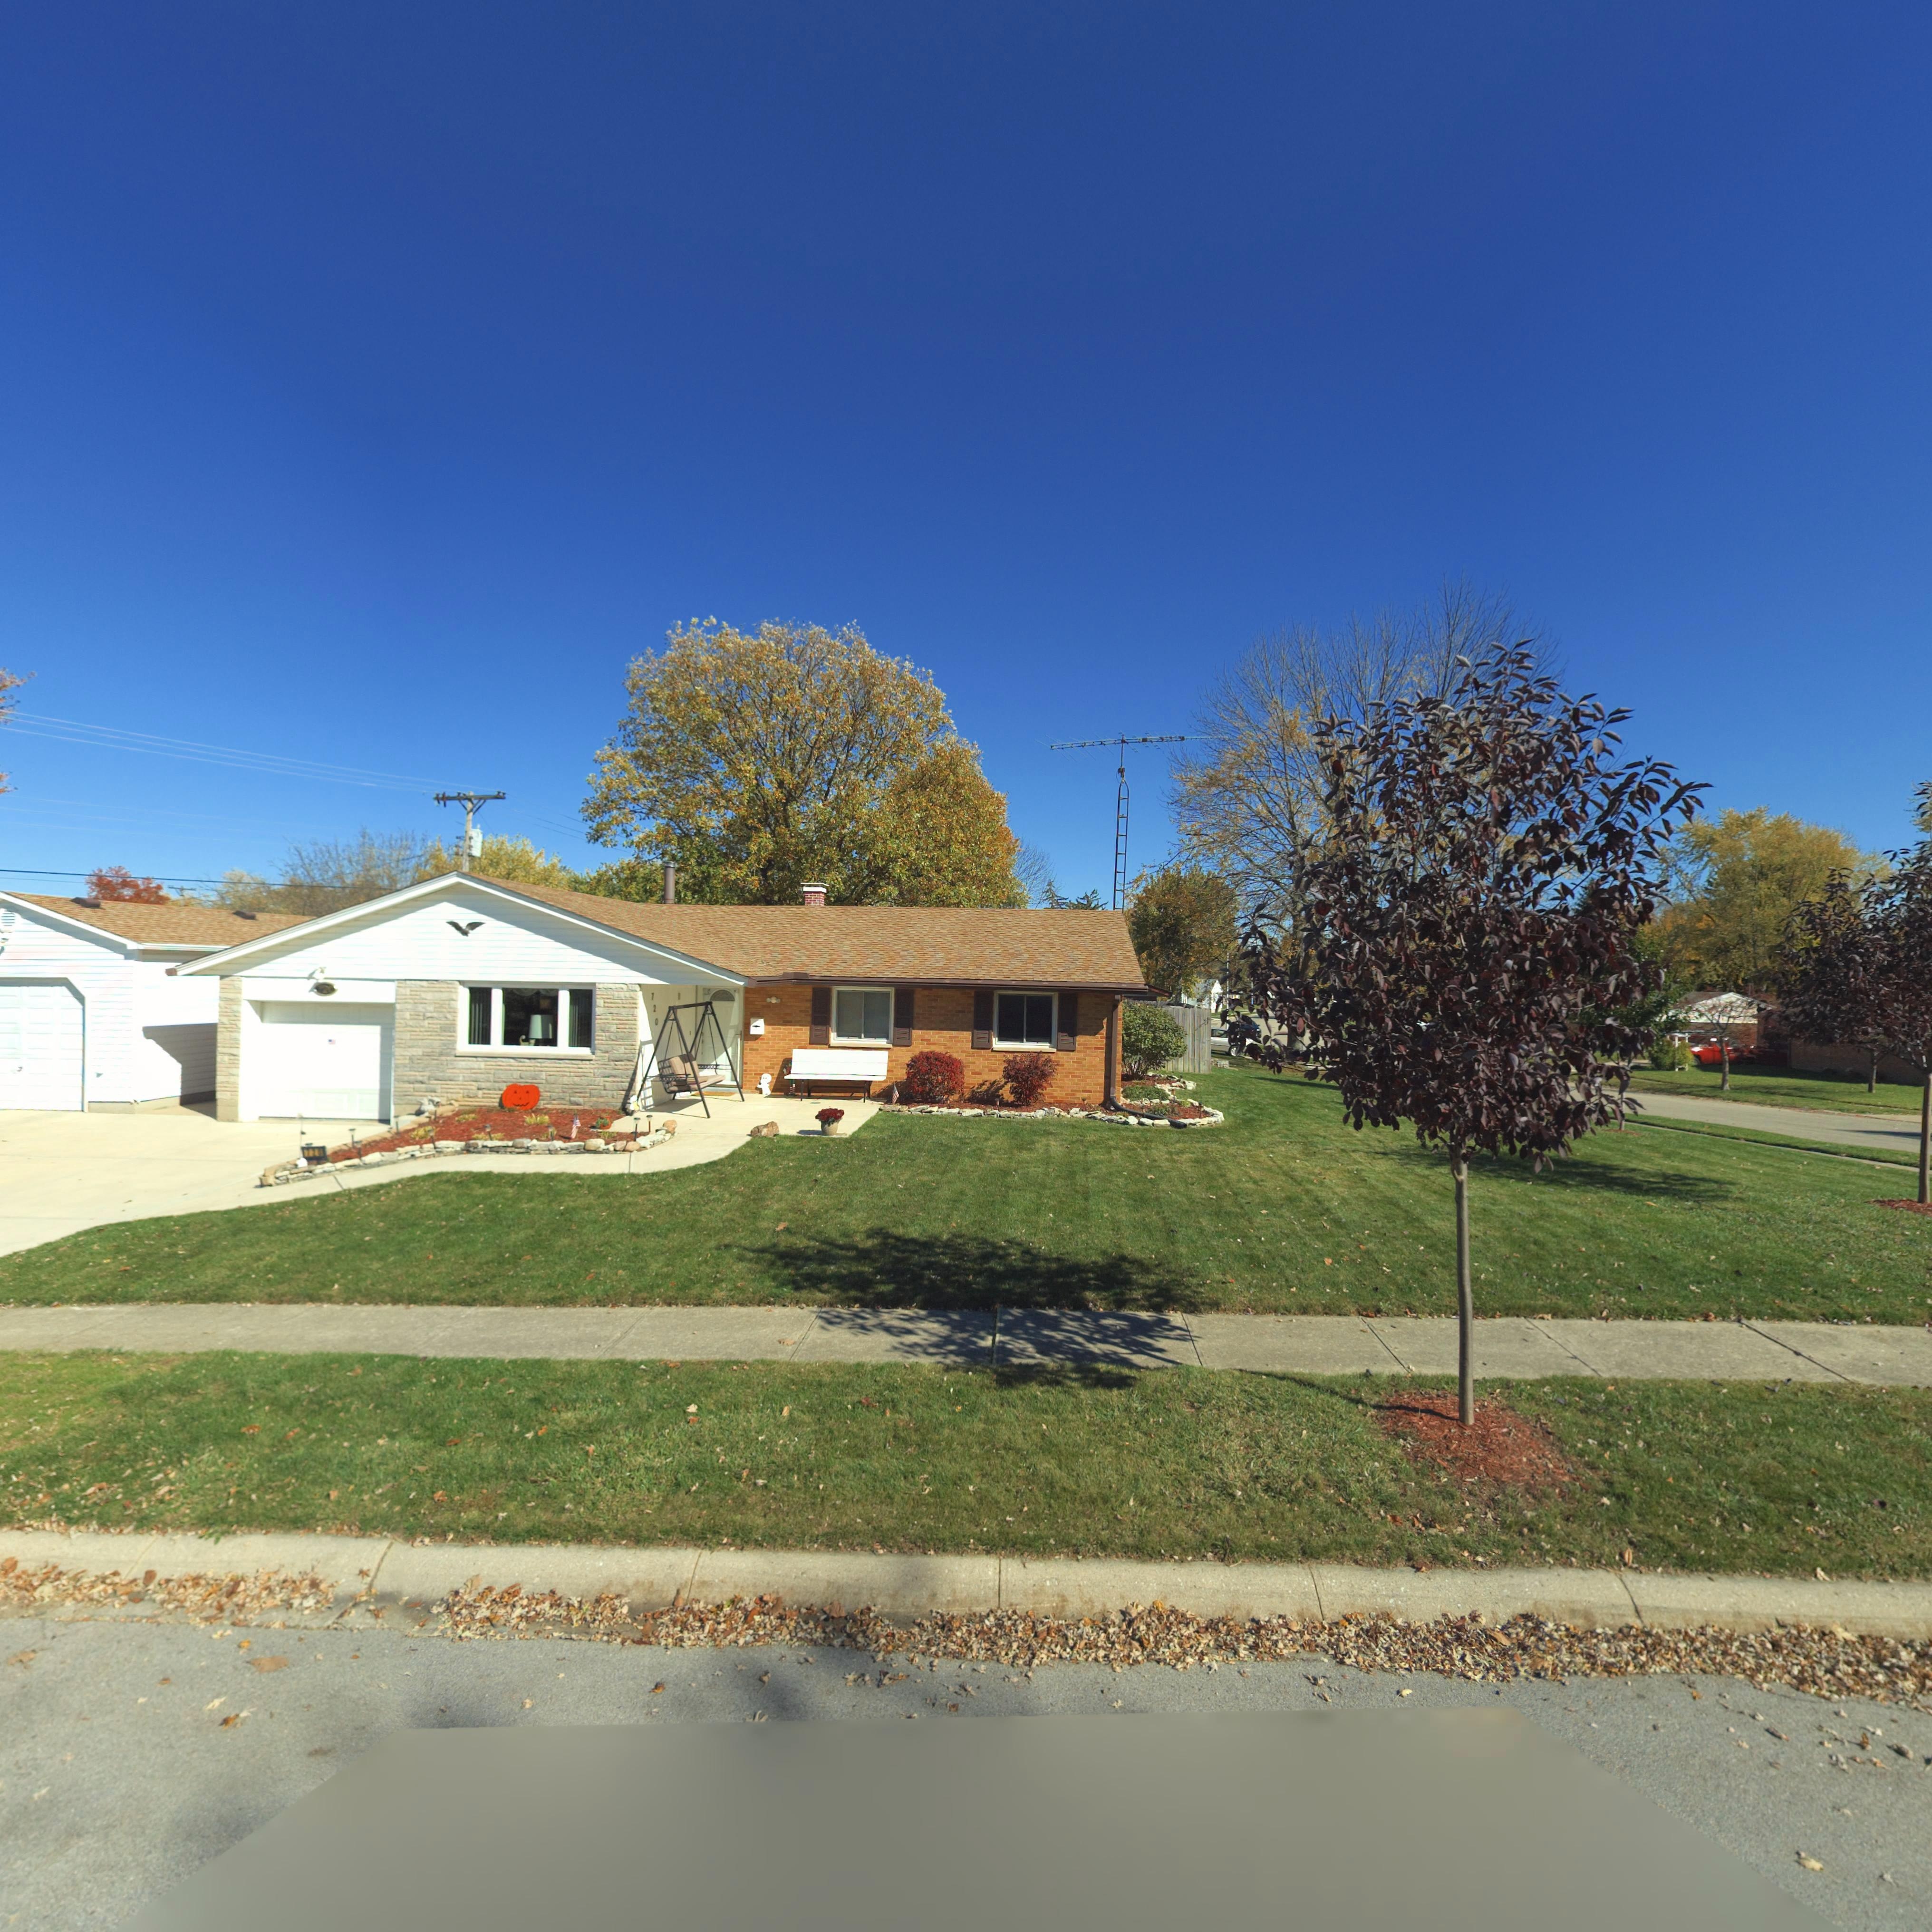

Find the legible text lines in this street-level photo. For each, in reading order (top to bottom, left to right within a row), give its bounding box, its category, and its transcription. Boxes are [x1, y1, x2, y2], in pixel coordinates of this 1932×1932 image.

[317, 984, 335, 995] StreetNumber: *20
[650, 991, 660, 1027] StreetNumber: 720
[305, 1147, 324, 1158] StreetNumber: *2*